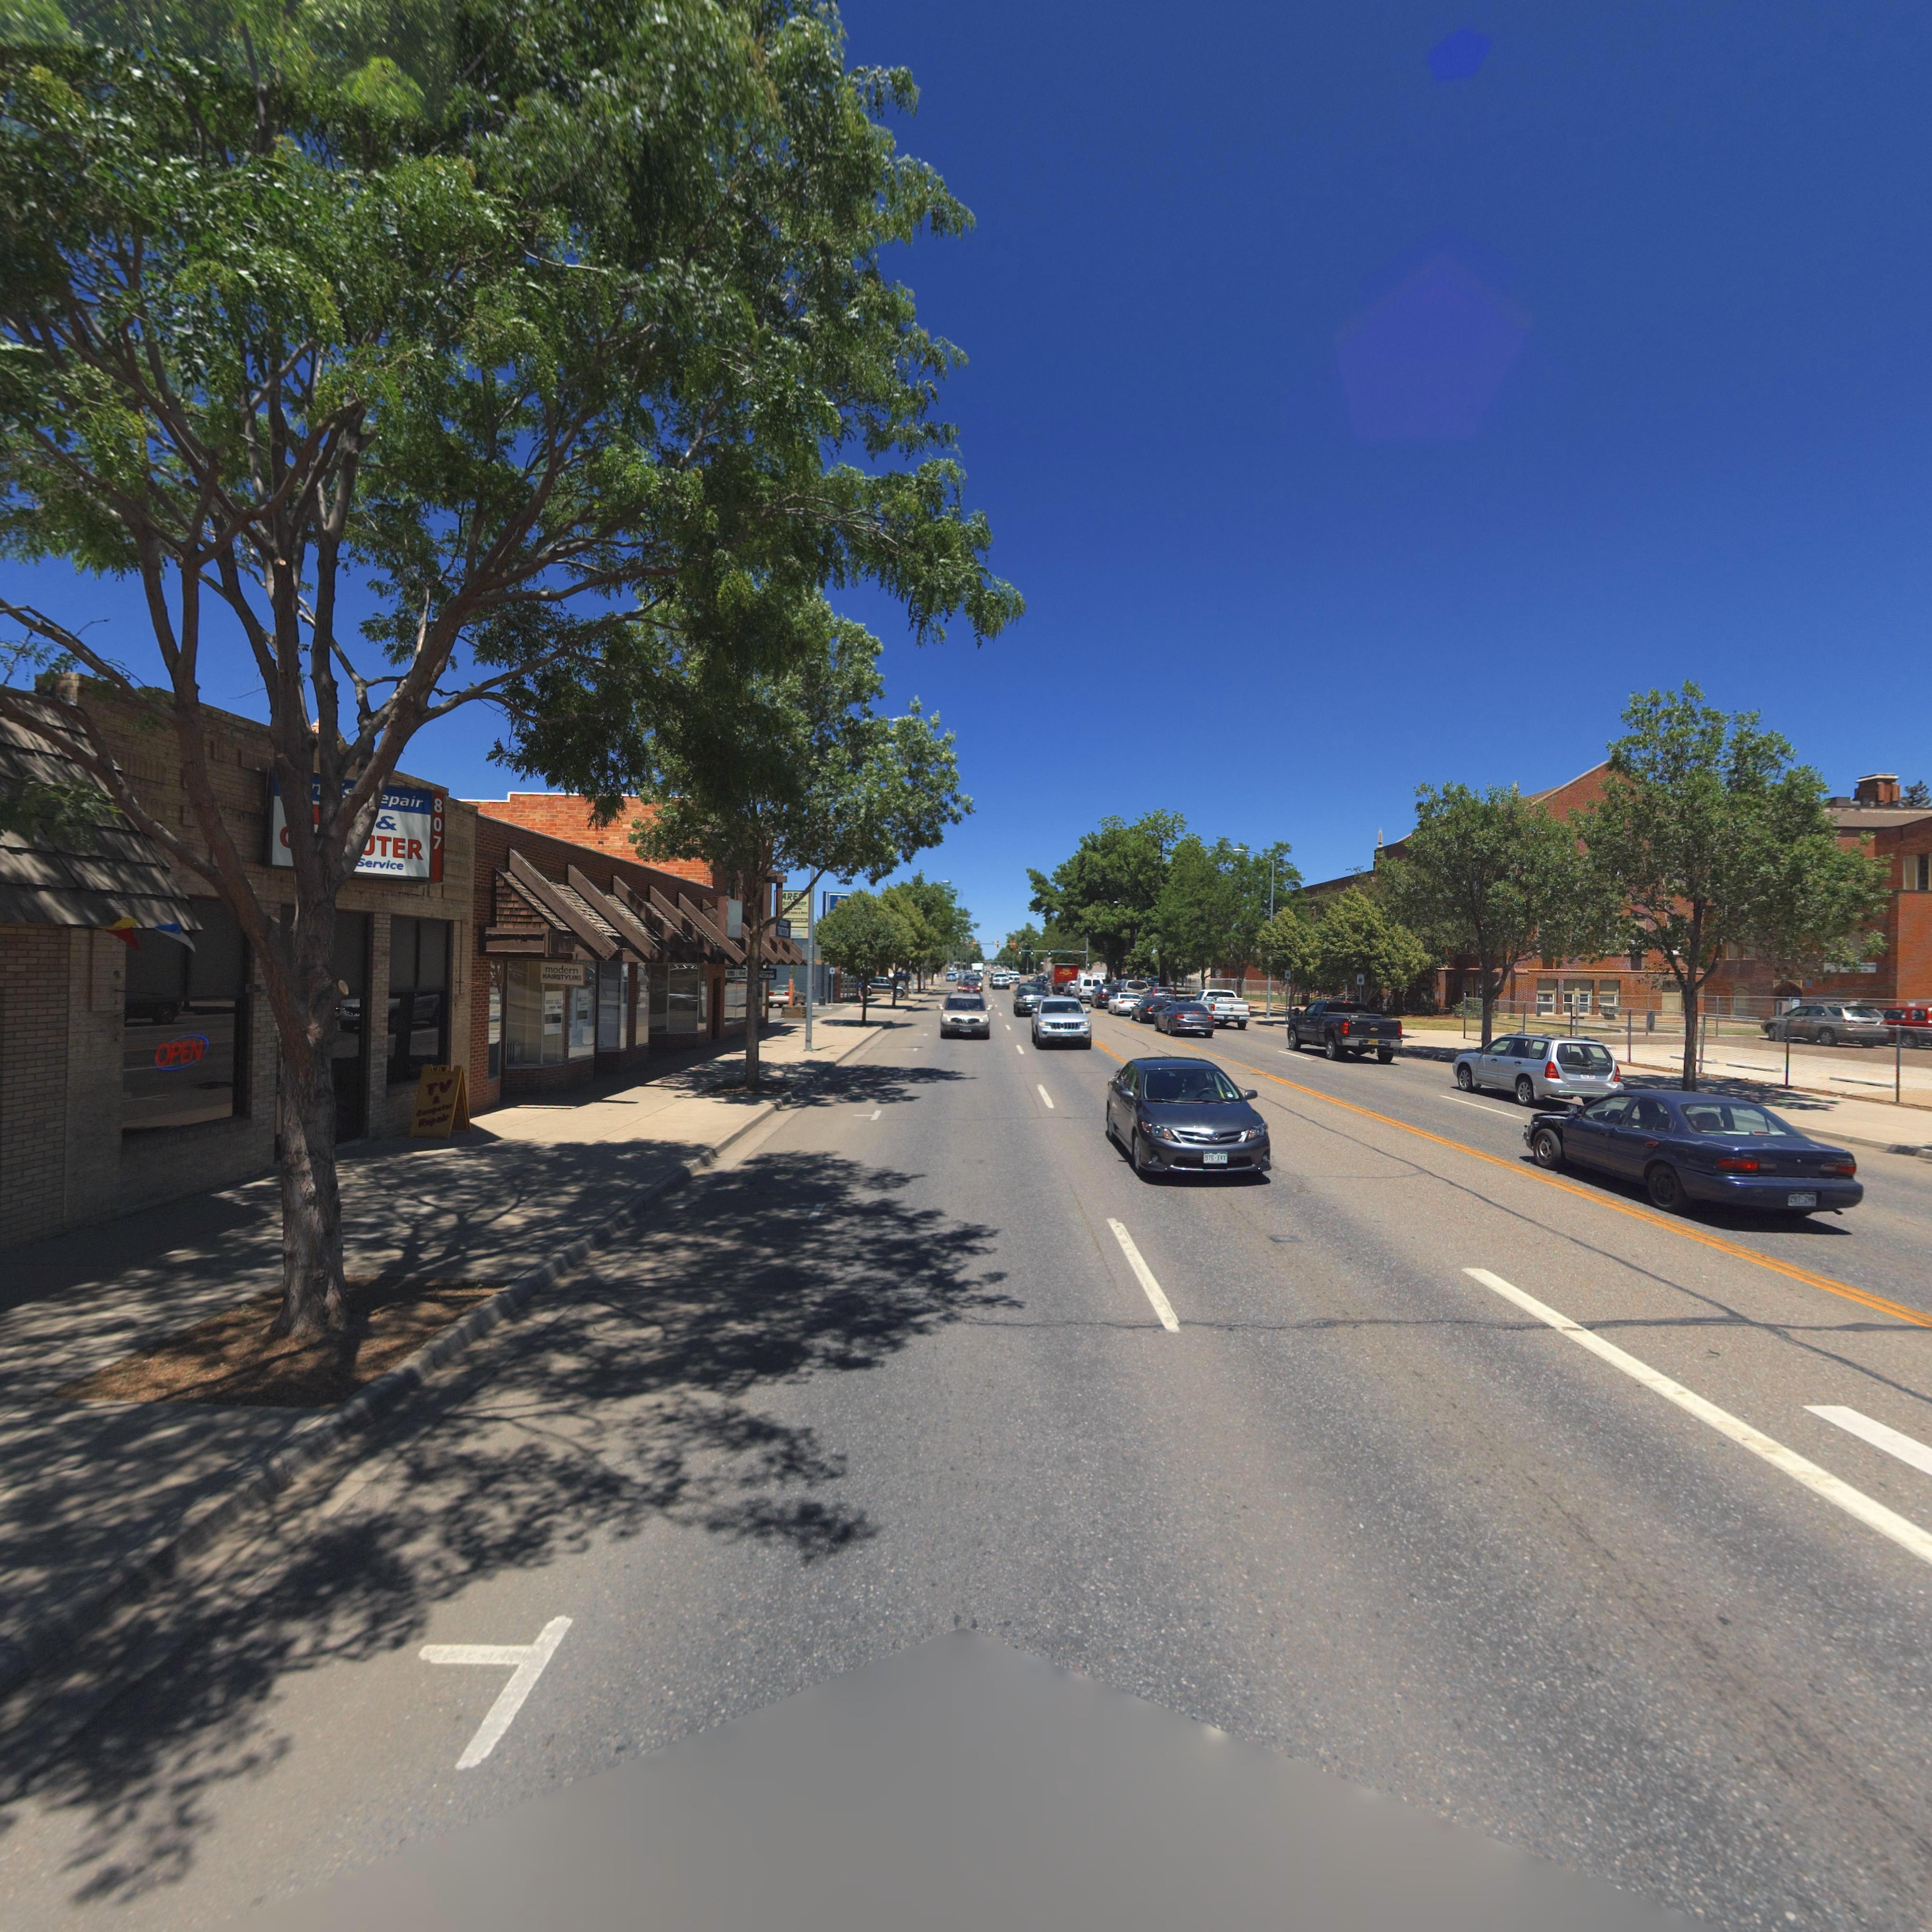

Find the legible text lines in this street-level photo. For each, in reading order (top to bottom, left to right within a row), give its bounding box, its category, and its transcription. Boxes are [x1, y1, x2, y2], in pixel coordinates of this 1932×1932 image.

[312, 782, 424, 808] BusinessName: *'s *epair
[375, 815, 396, 831] BusinessName: &
[433, 798, 442, 849] StreetNumber: 807
[279, 825, 424, 861] BusinessName: ****UTER
[782, 892, 803, 900] BusinessName: ARE*
[782, 901, 806, 906] BusinessName: RIF**HOP
[779, 919, 788, 927] BusinessName: L*******
[777, 926, 789, 936] BusinessName: ****UM
[791, 929, 806, 933] BusinessName: mont
[790, 934, 802, 937] BusinessName: UUM
[545, 965, 578, 974] BusinessName: modern
[543, 973, 581, 981] BusinessName: HAIRSTYLING
[758, 973, 774, 978] BusinessName: ACUUM
[759, 969, 774, 974] BusinessName: L******t
[426, 1079, 453, 1096] BusinessName: TV
[432, 1095, 440, 1104] BusinessName: &
[416, 1103, 453, 1117] BusinessName: Computer
[418, 1113, 449, 1128] BusinessName: Repair